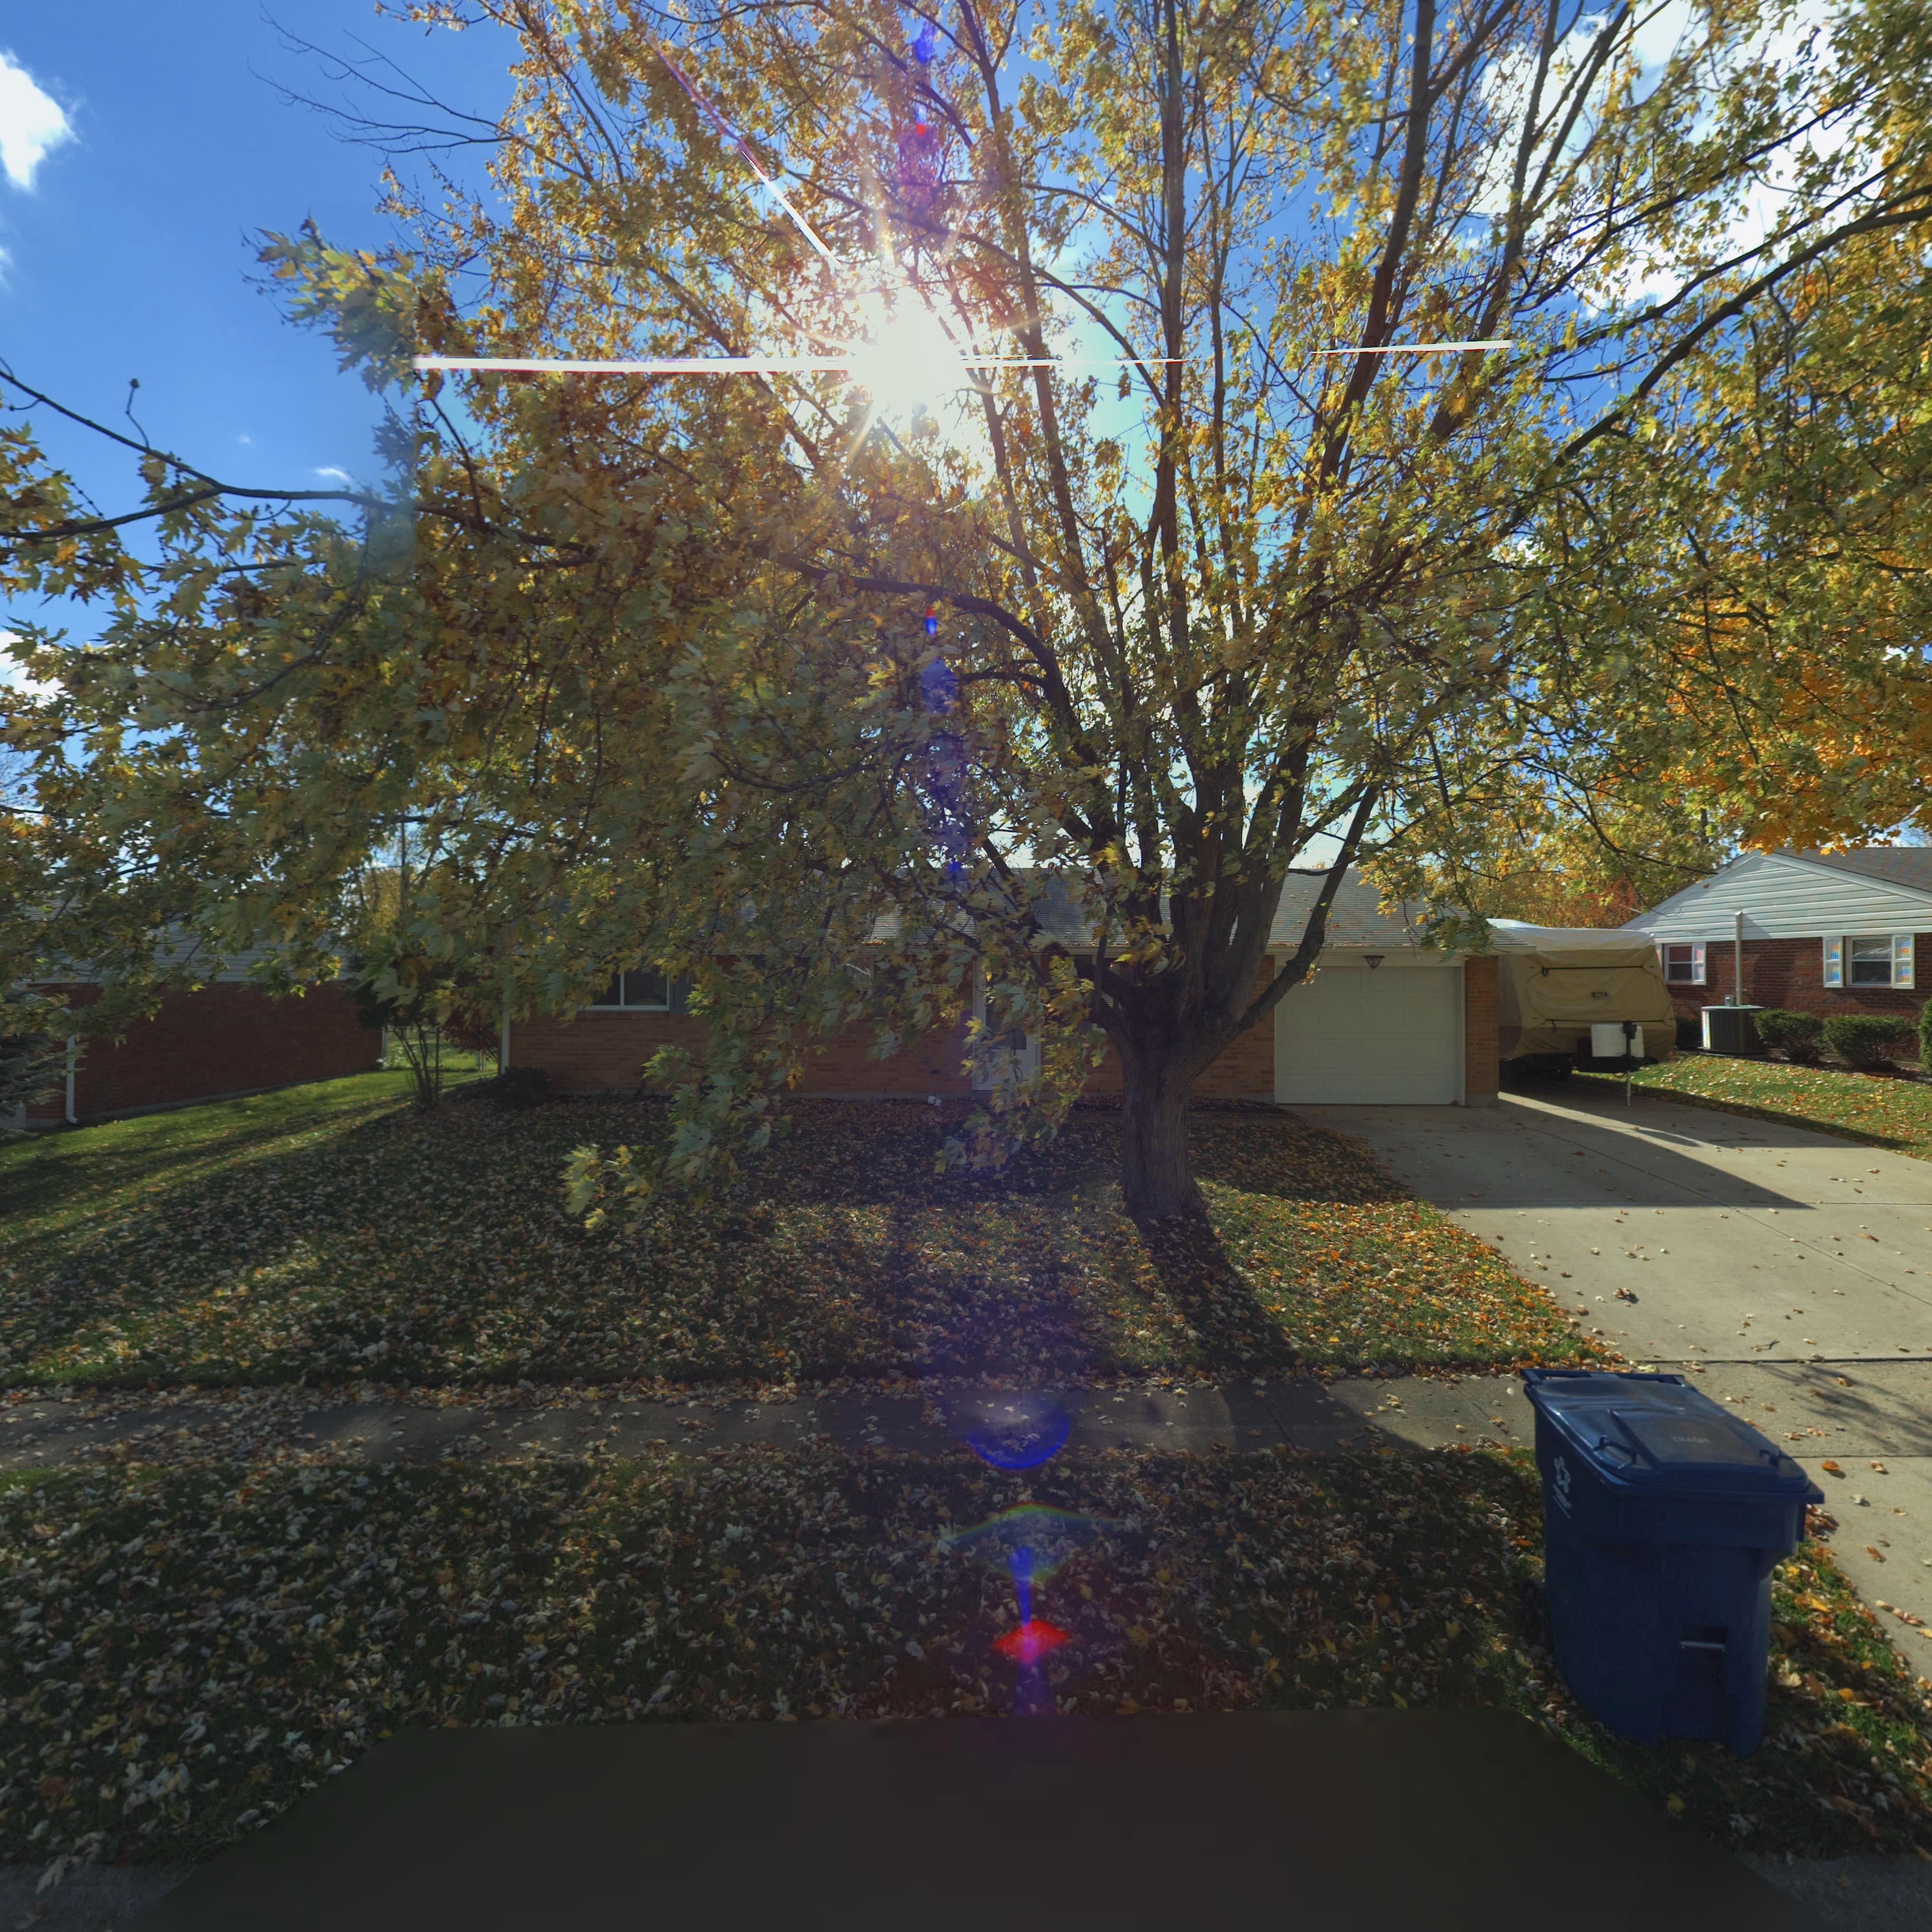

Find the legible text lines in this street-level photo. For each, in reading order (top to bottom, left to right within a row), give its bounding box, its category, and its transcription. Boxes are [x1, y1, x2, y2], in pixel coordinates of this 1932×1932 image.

[929, 985, 934, 994] StreetNumber: 1